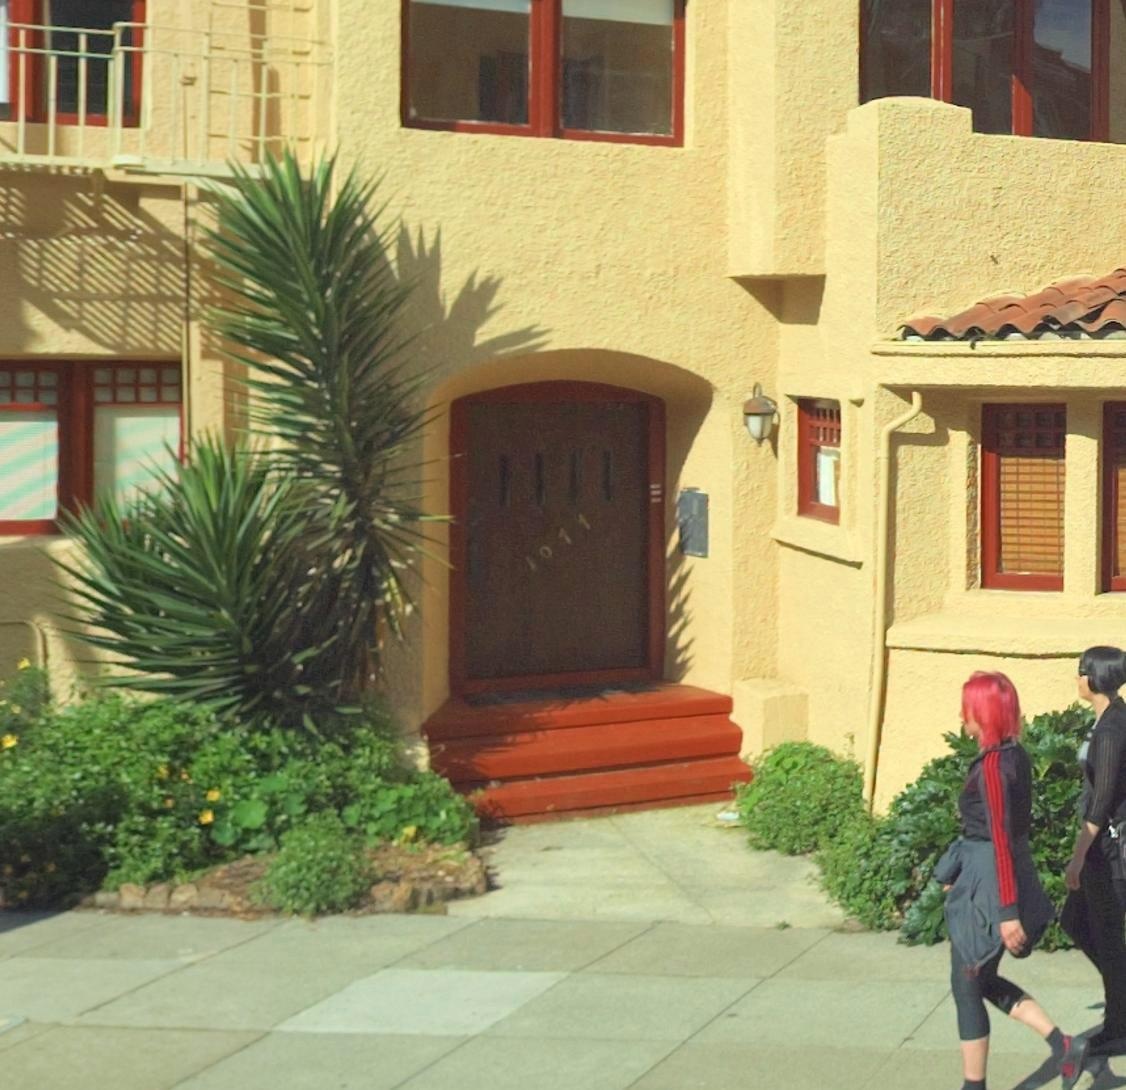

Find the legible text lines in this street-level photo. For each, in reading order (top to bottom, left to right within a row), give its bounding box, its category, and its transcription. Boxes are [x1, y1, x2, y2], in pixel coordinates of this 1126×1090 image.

[519, 511, 595, 574] StreetNumber: 1011